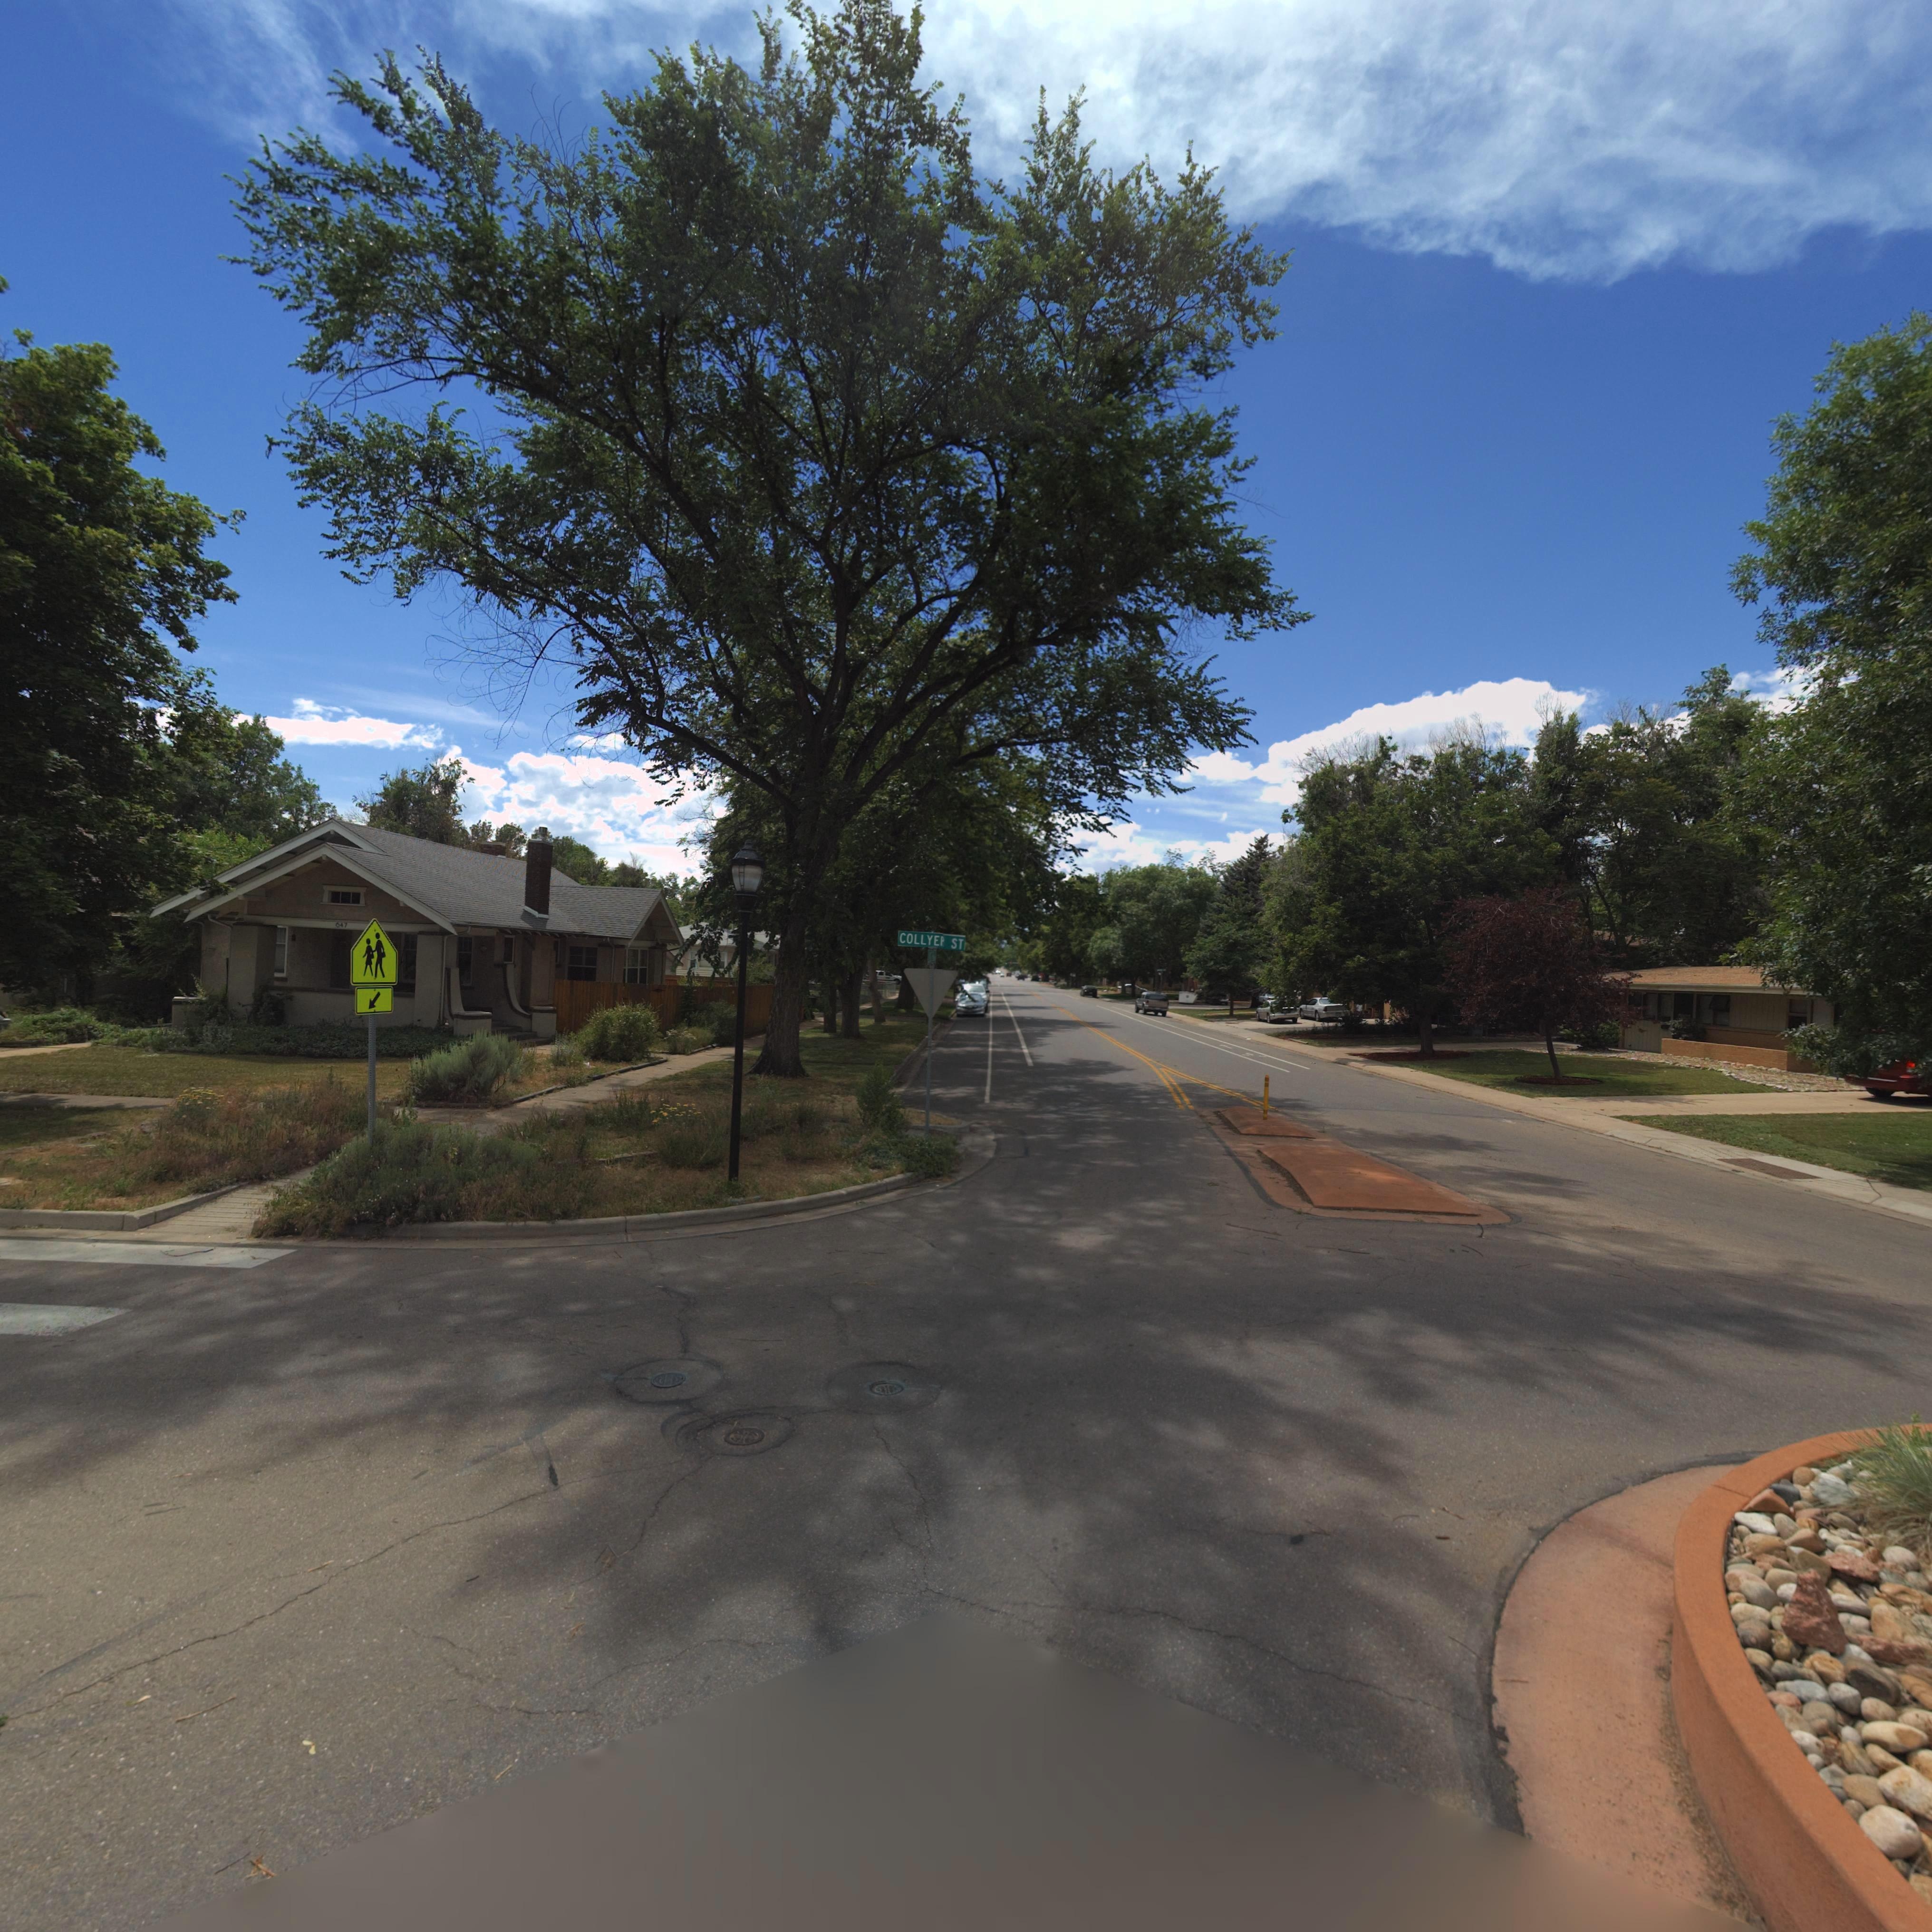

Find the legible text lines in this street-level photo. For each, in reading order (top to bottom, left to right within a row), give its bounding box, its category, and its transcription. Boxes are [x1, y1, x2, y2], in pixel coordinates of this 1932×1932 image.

[334, 921, 348, 928] StreetNumber: 647
[898, 931, 964, 950] StreetName: COLLYE* ST